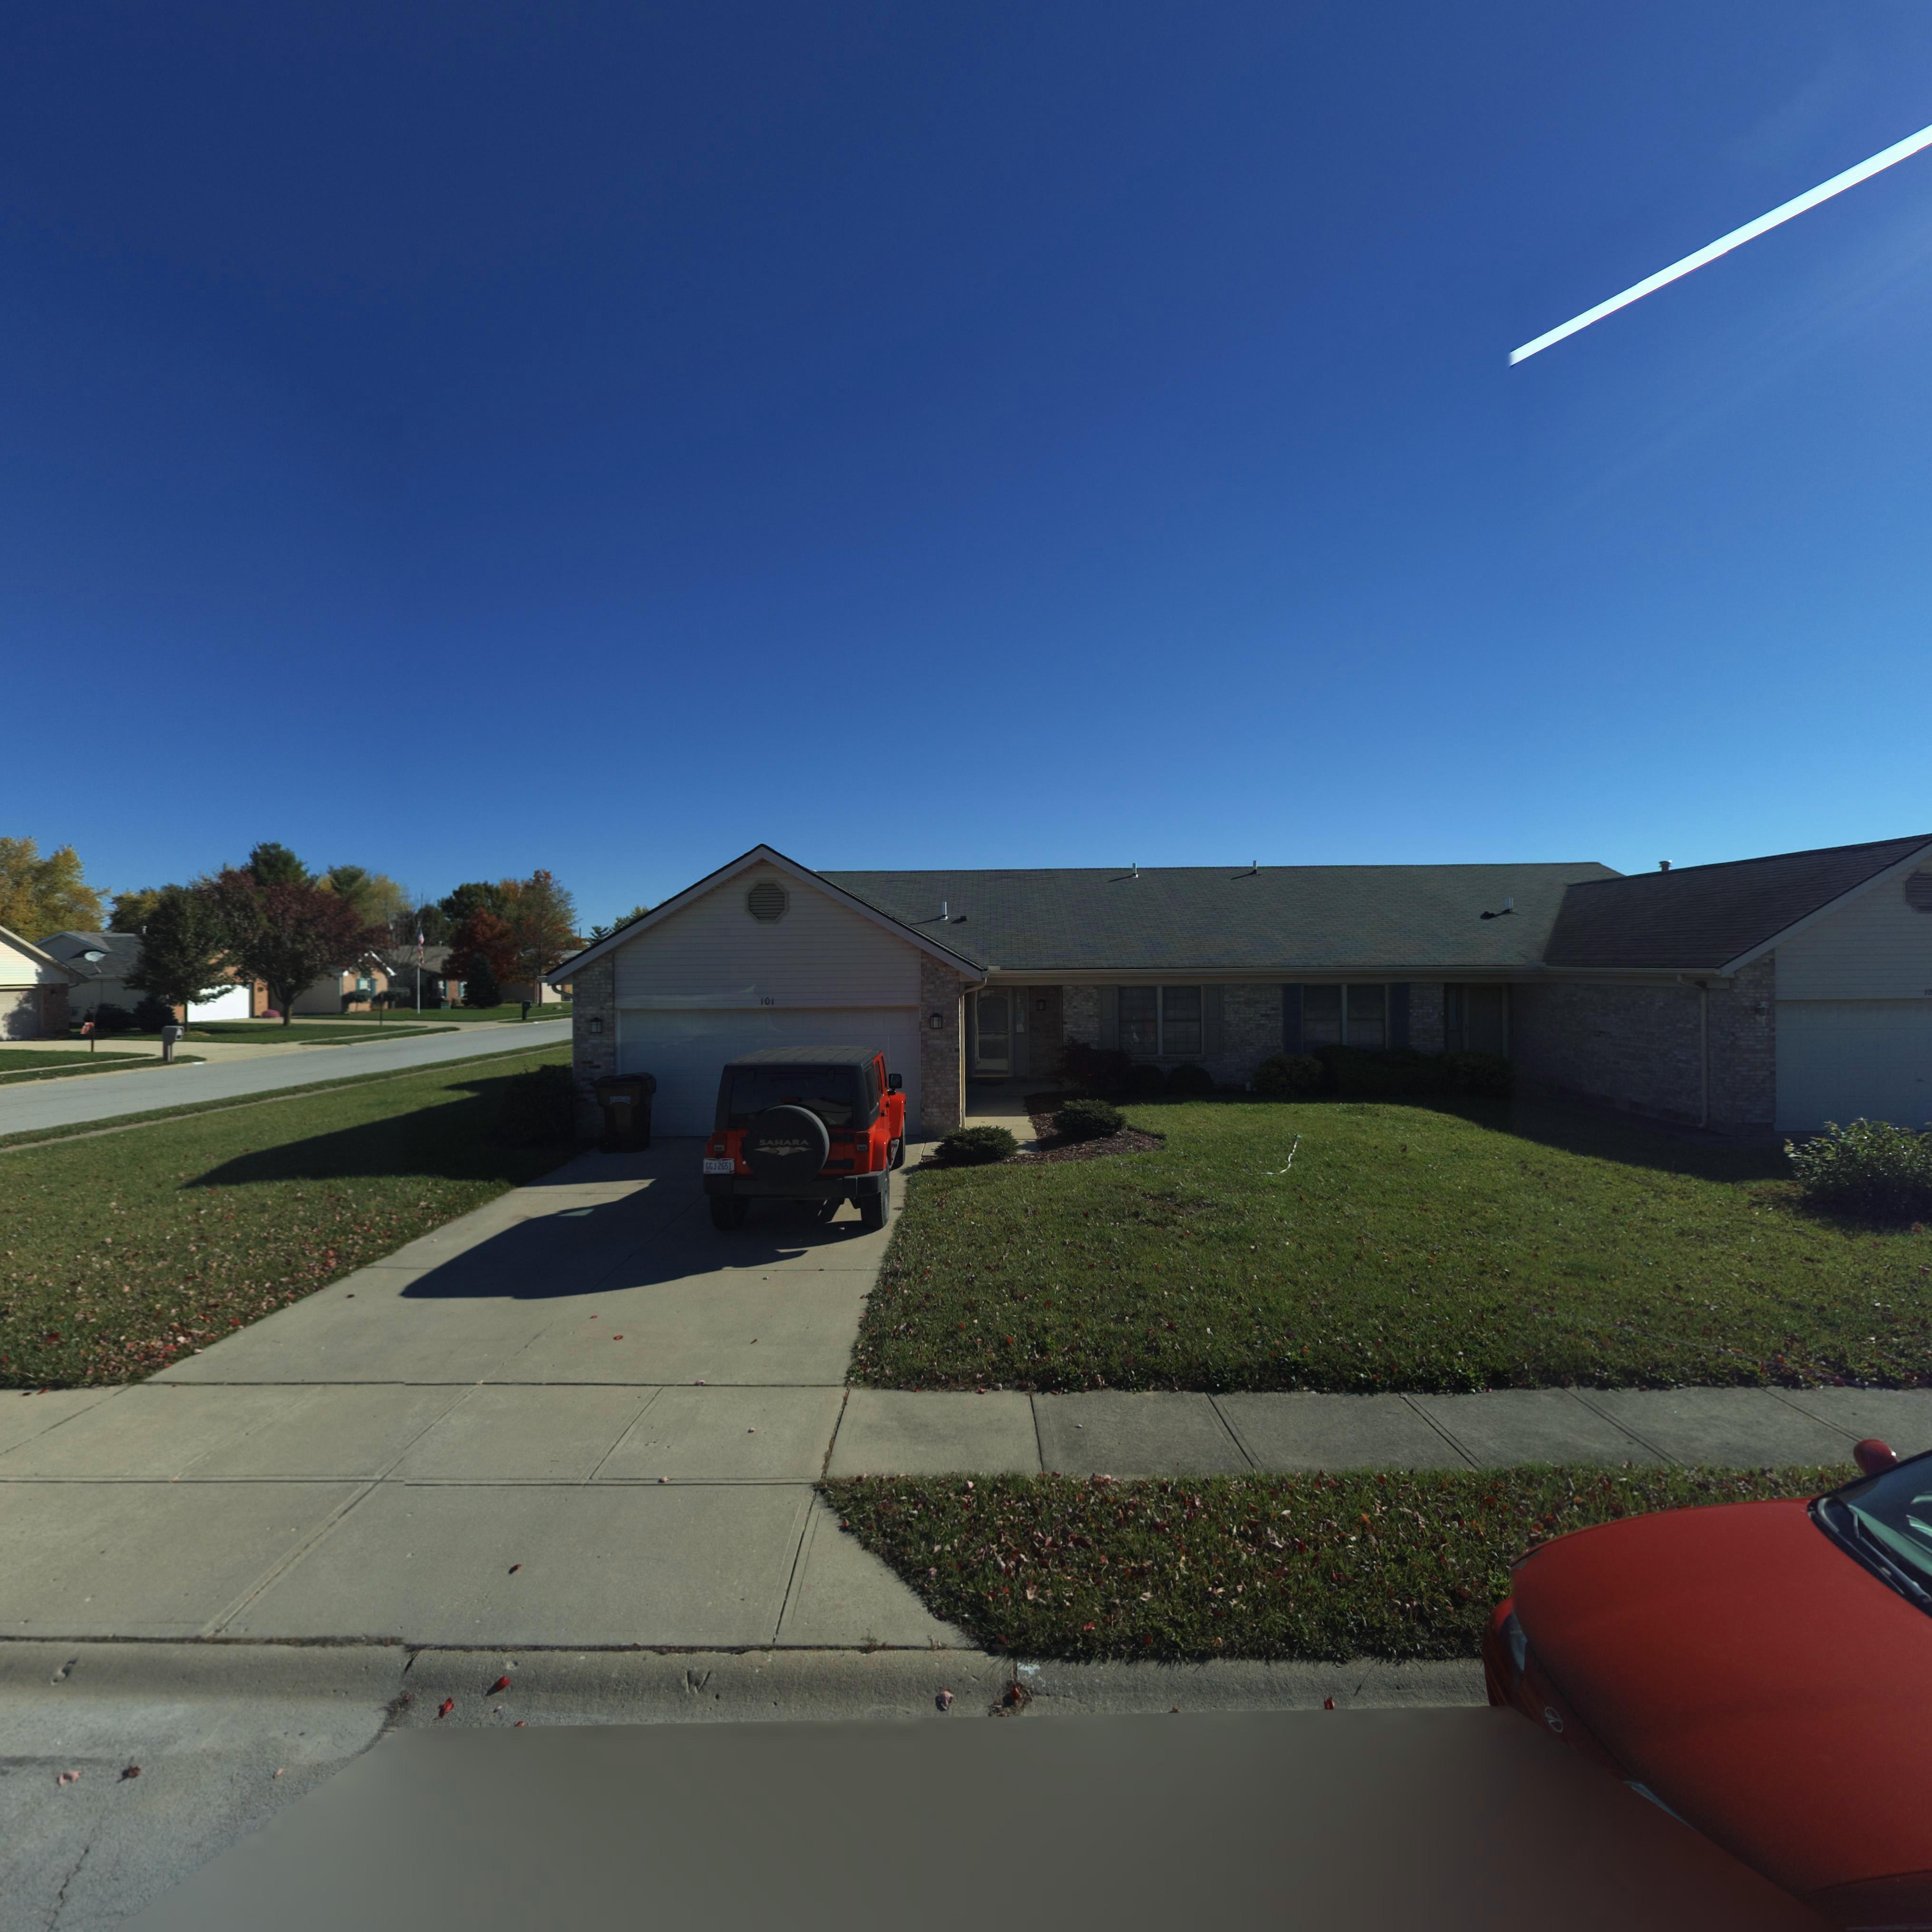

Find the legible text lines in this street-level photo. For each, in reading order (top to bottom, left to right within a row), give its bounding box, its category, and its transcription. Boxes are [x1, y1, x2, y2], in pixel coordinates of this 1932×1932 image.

[1924, 988, 1932, 995] StreetNumber: 10
[760, 997, 774, 1005] StreetNumber: 101
[758, 1137, 810, 1147] None: SAHARA
[705, 1159, 733, 1170] None: GGJ 2651